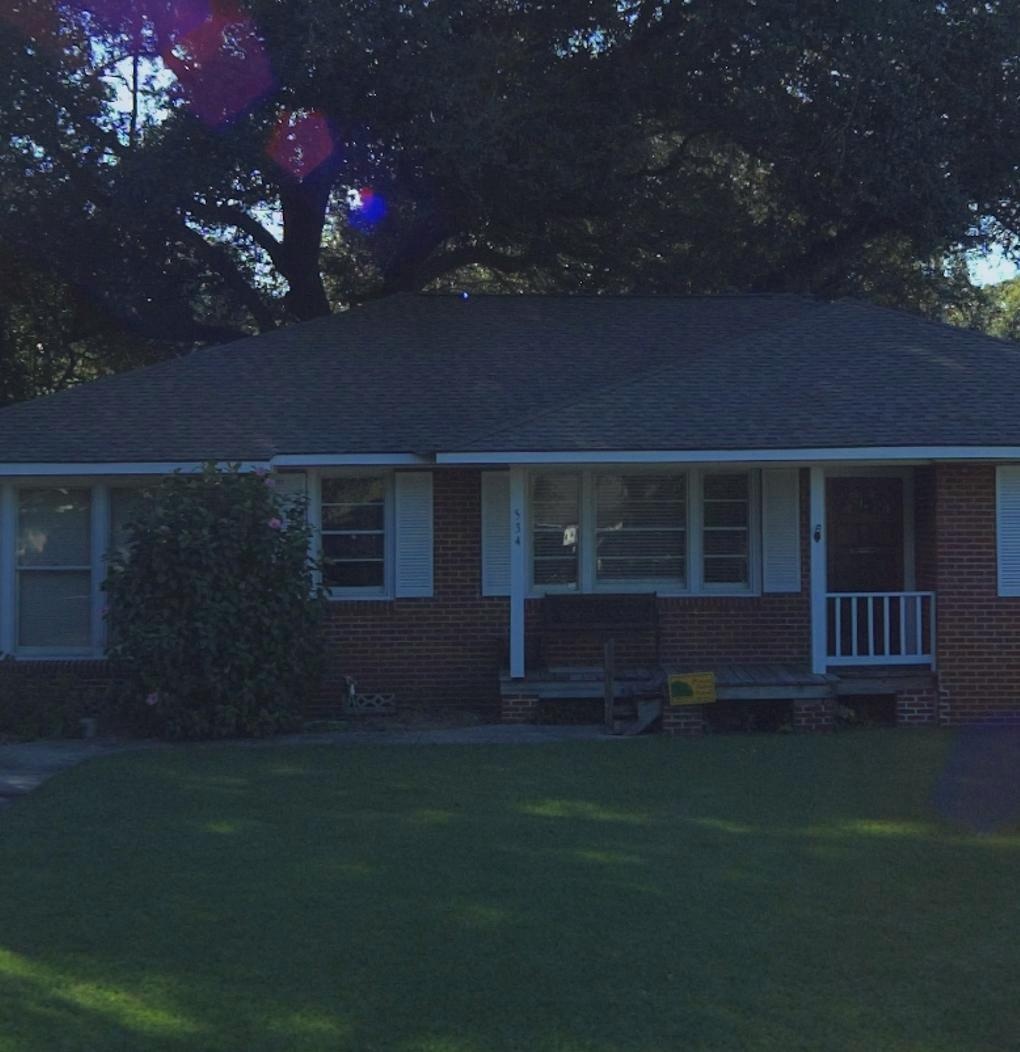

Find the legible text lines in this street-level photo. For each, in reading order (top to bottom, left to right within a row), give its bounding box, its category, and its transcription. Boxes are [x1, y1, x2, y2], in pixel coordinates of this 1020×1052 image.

[513, 508, 522, 547] StreetNumber: 534